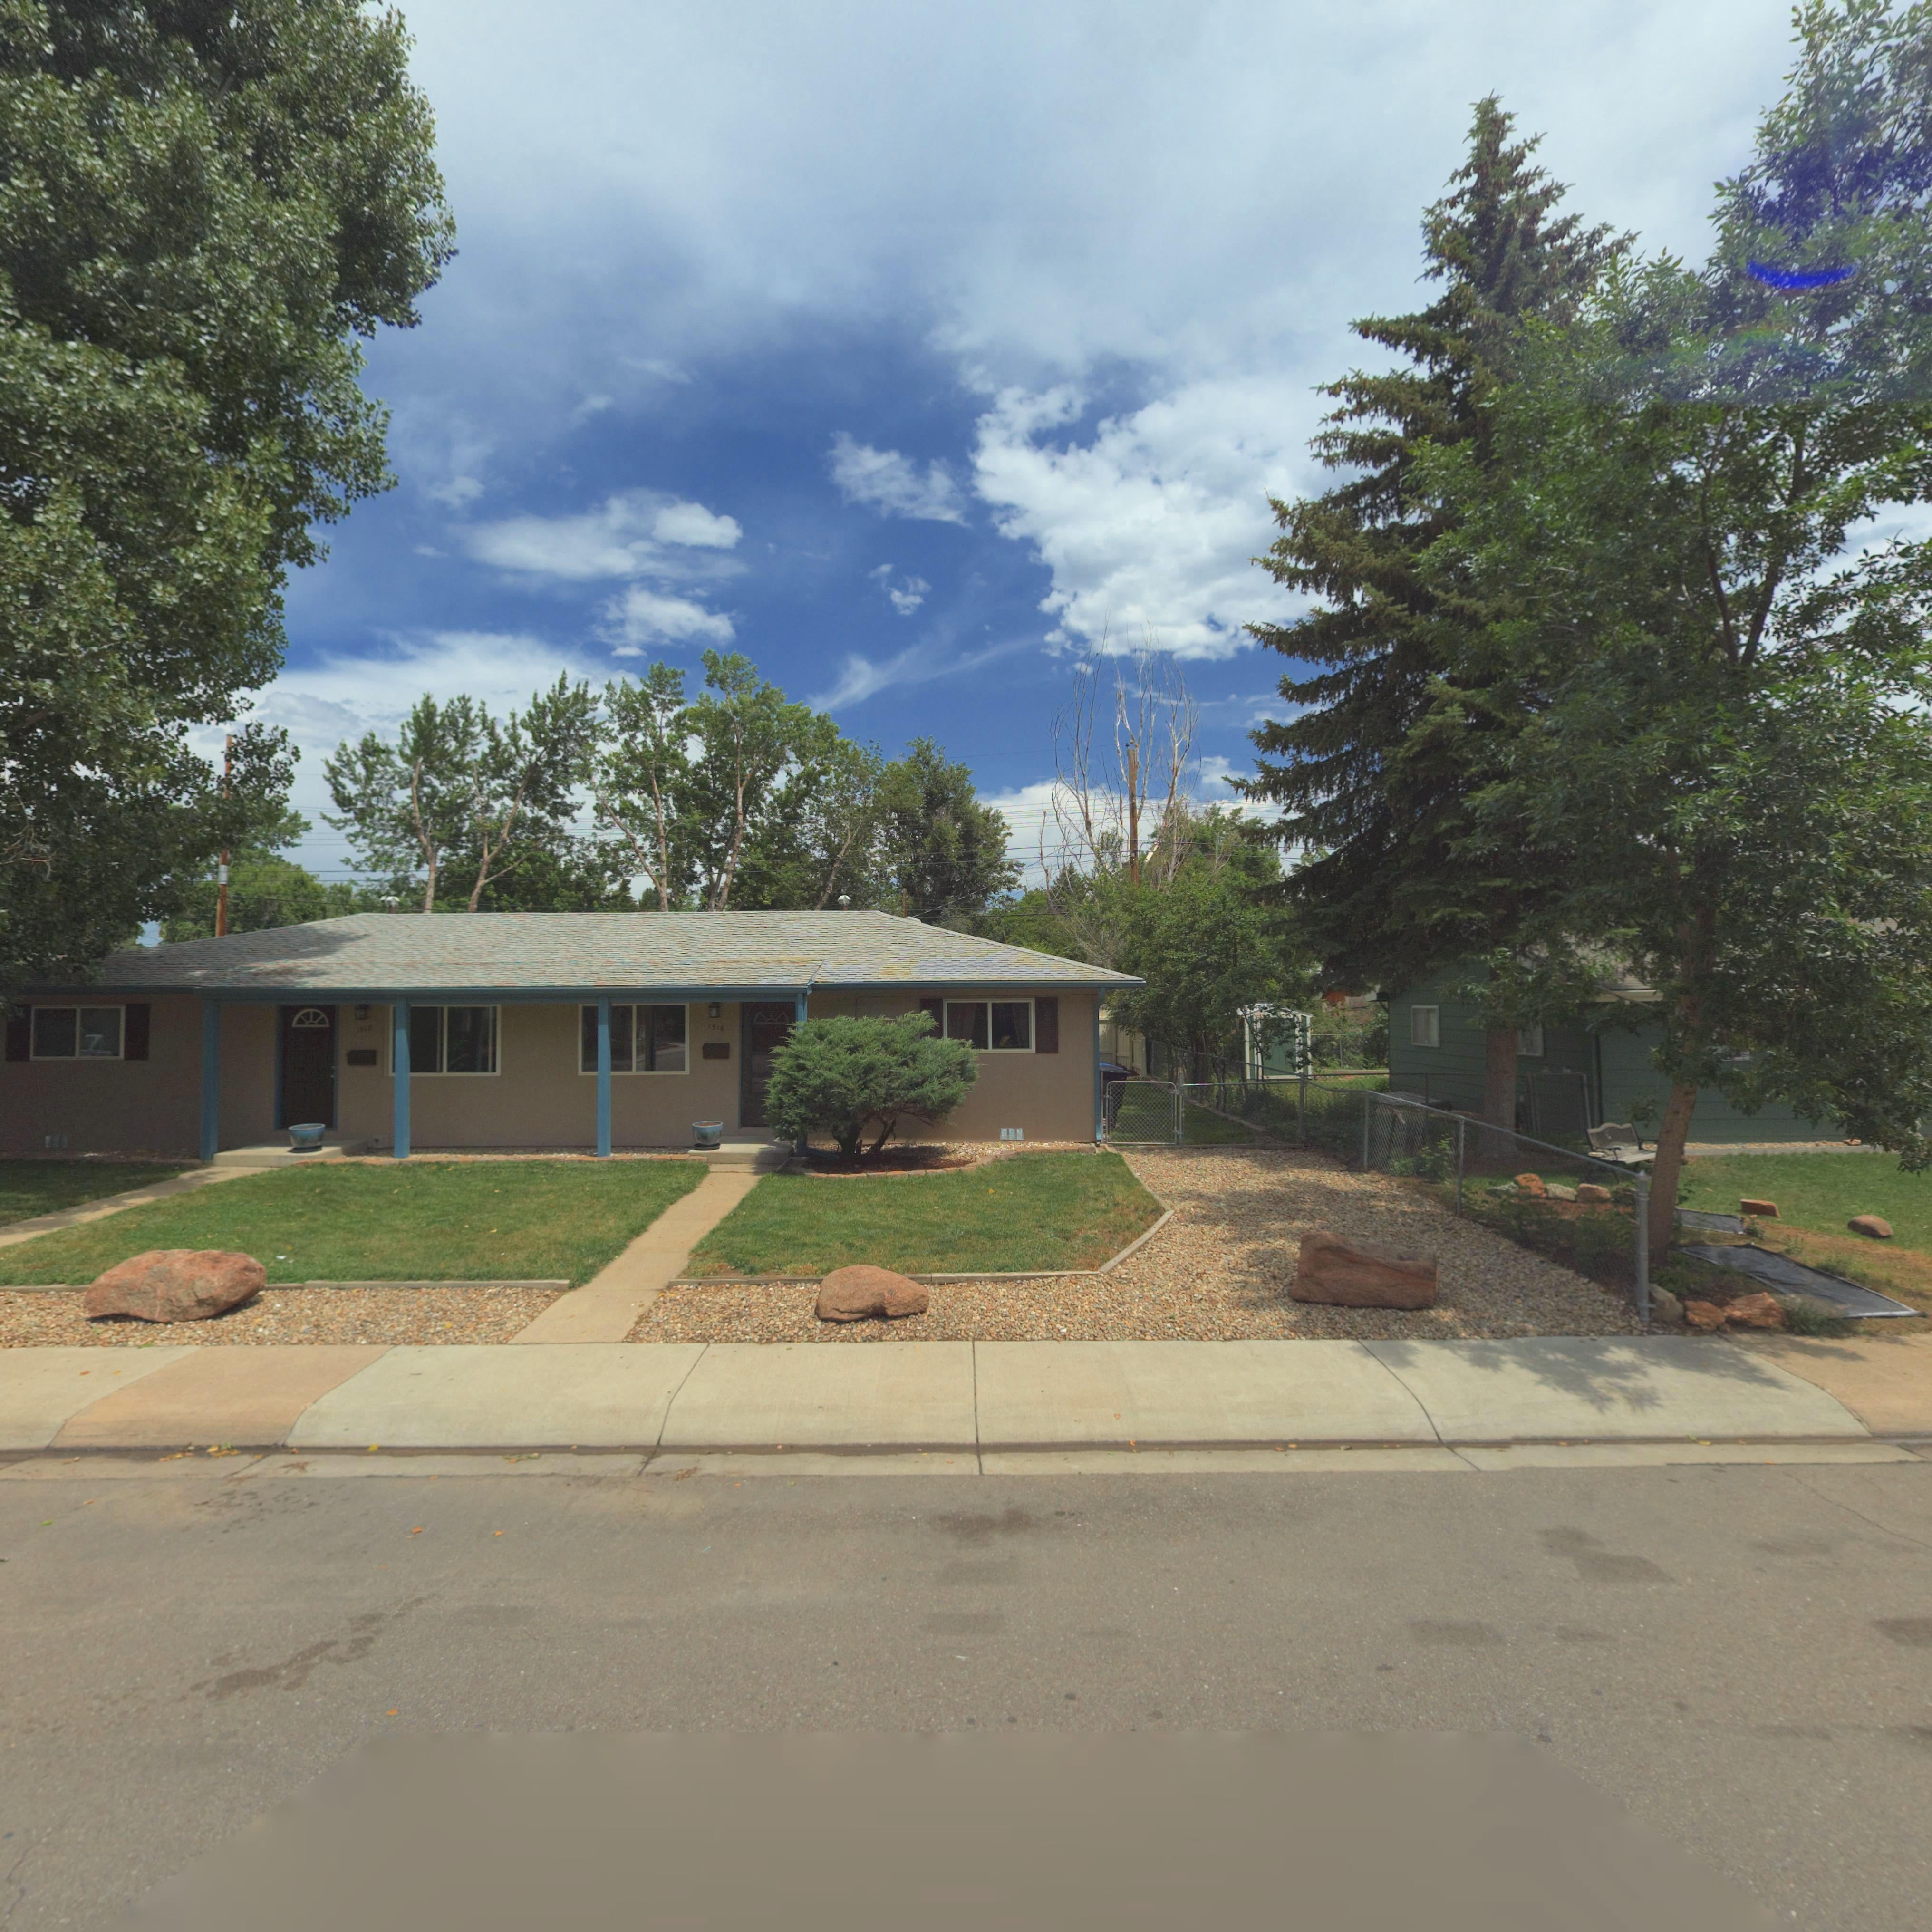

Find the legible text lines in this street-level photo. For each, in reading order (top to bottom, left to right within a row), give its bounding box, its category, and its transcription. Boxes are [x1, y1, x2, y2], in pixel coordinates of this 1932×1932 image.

[356, 1024, 373, 1034] StreetNumber: 1*1*
[708, 1022, 724, 1032] StreetNumber: 1516